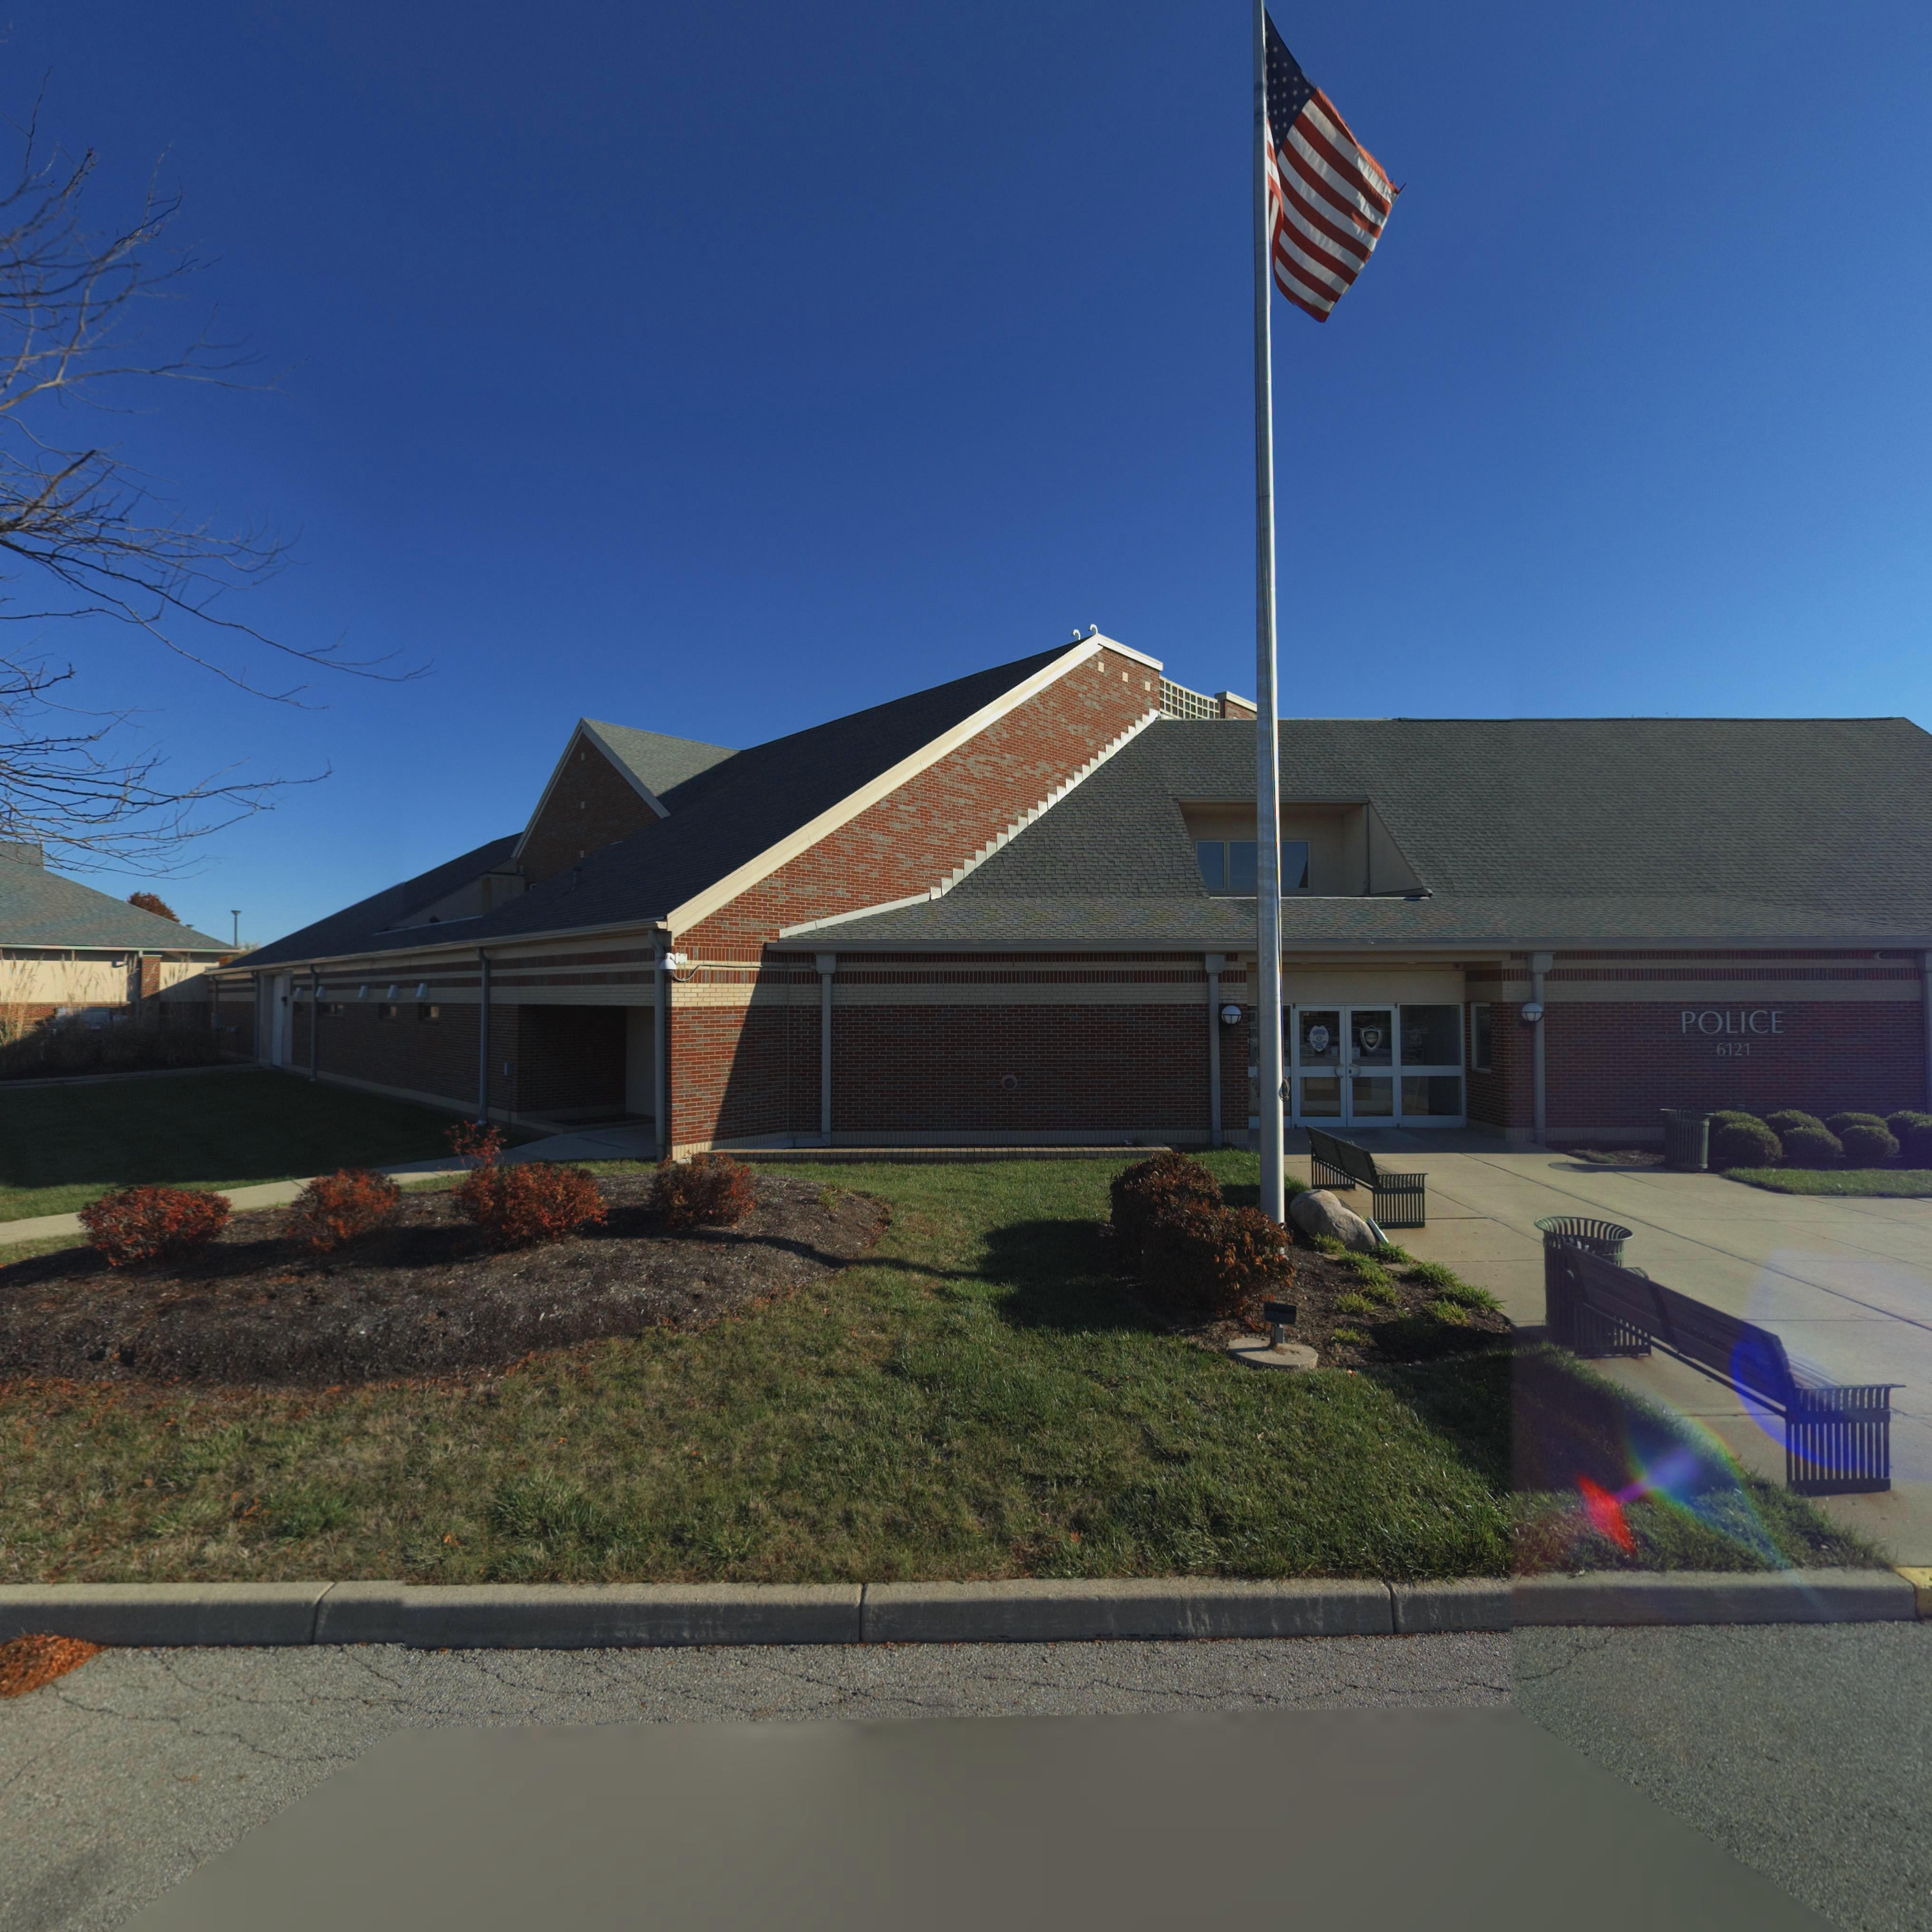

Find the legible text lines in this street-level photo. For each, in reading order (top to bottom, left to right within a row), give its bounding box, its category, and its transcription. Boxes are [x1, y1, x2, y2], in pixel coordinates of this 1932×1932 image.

[1716, 1042, 1751, 1057] StreetNumber: 6121